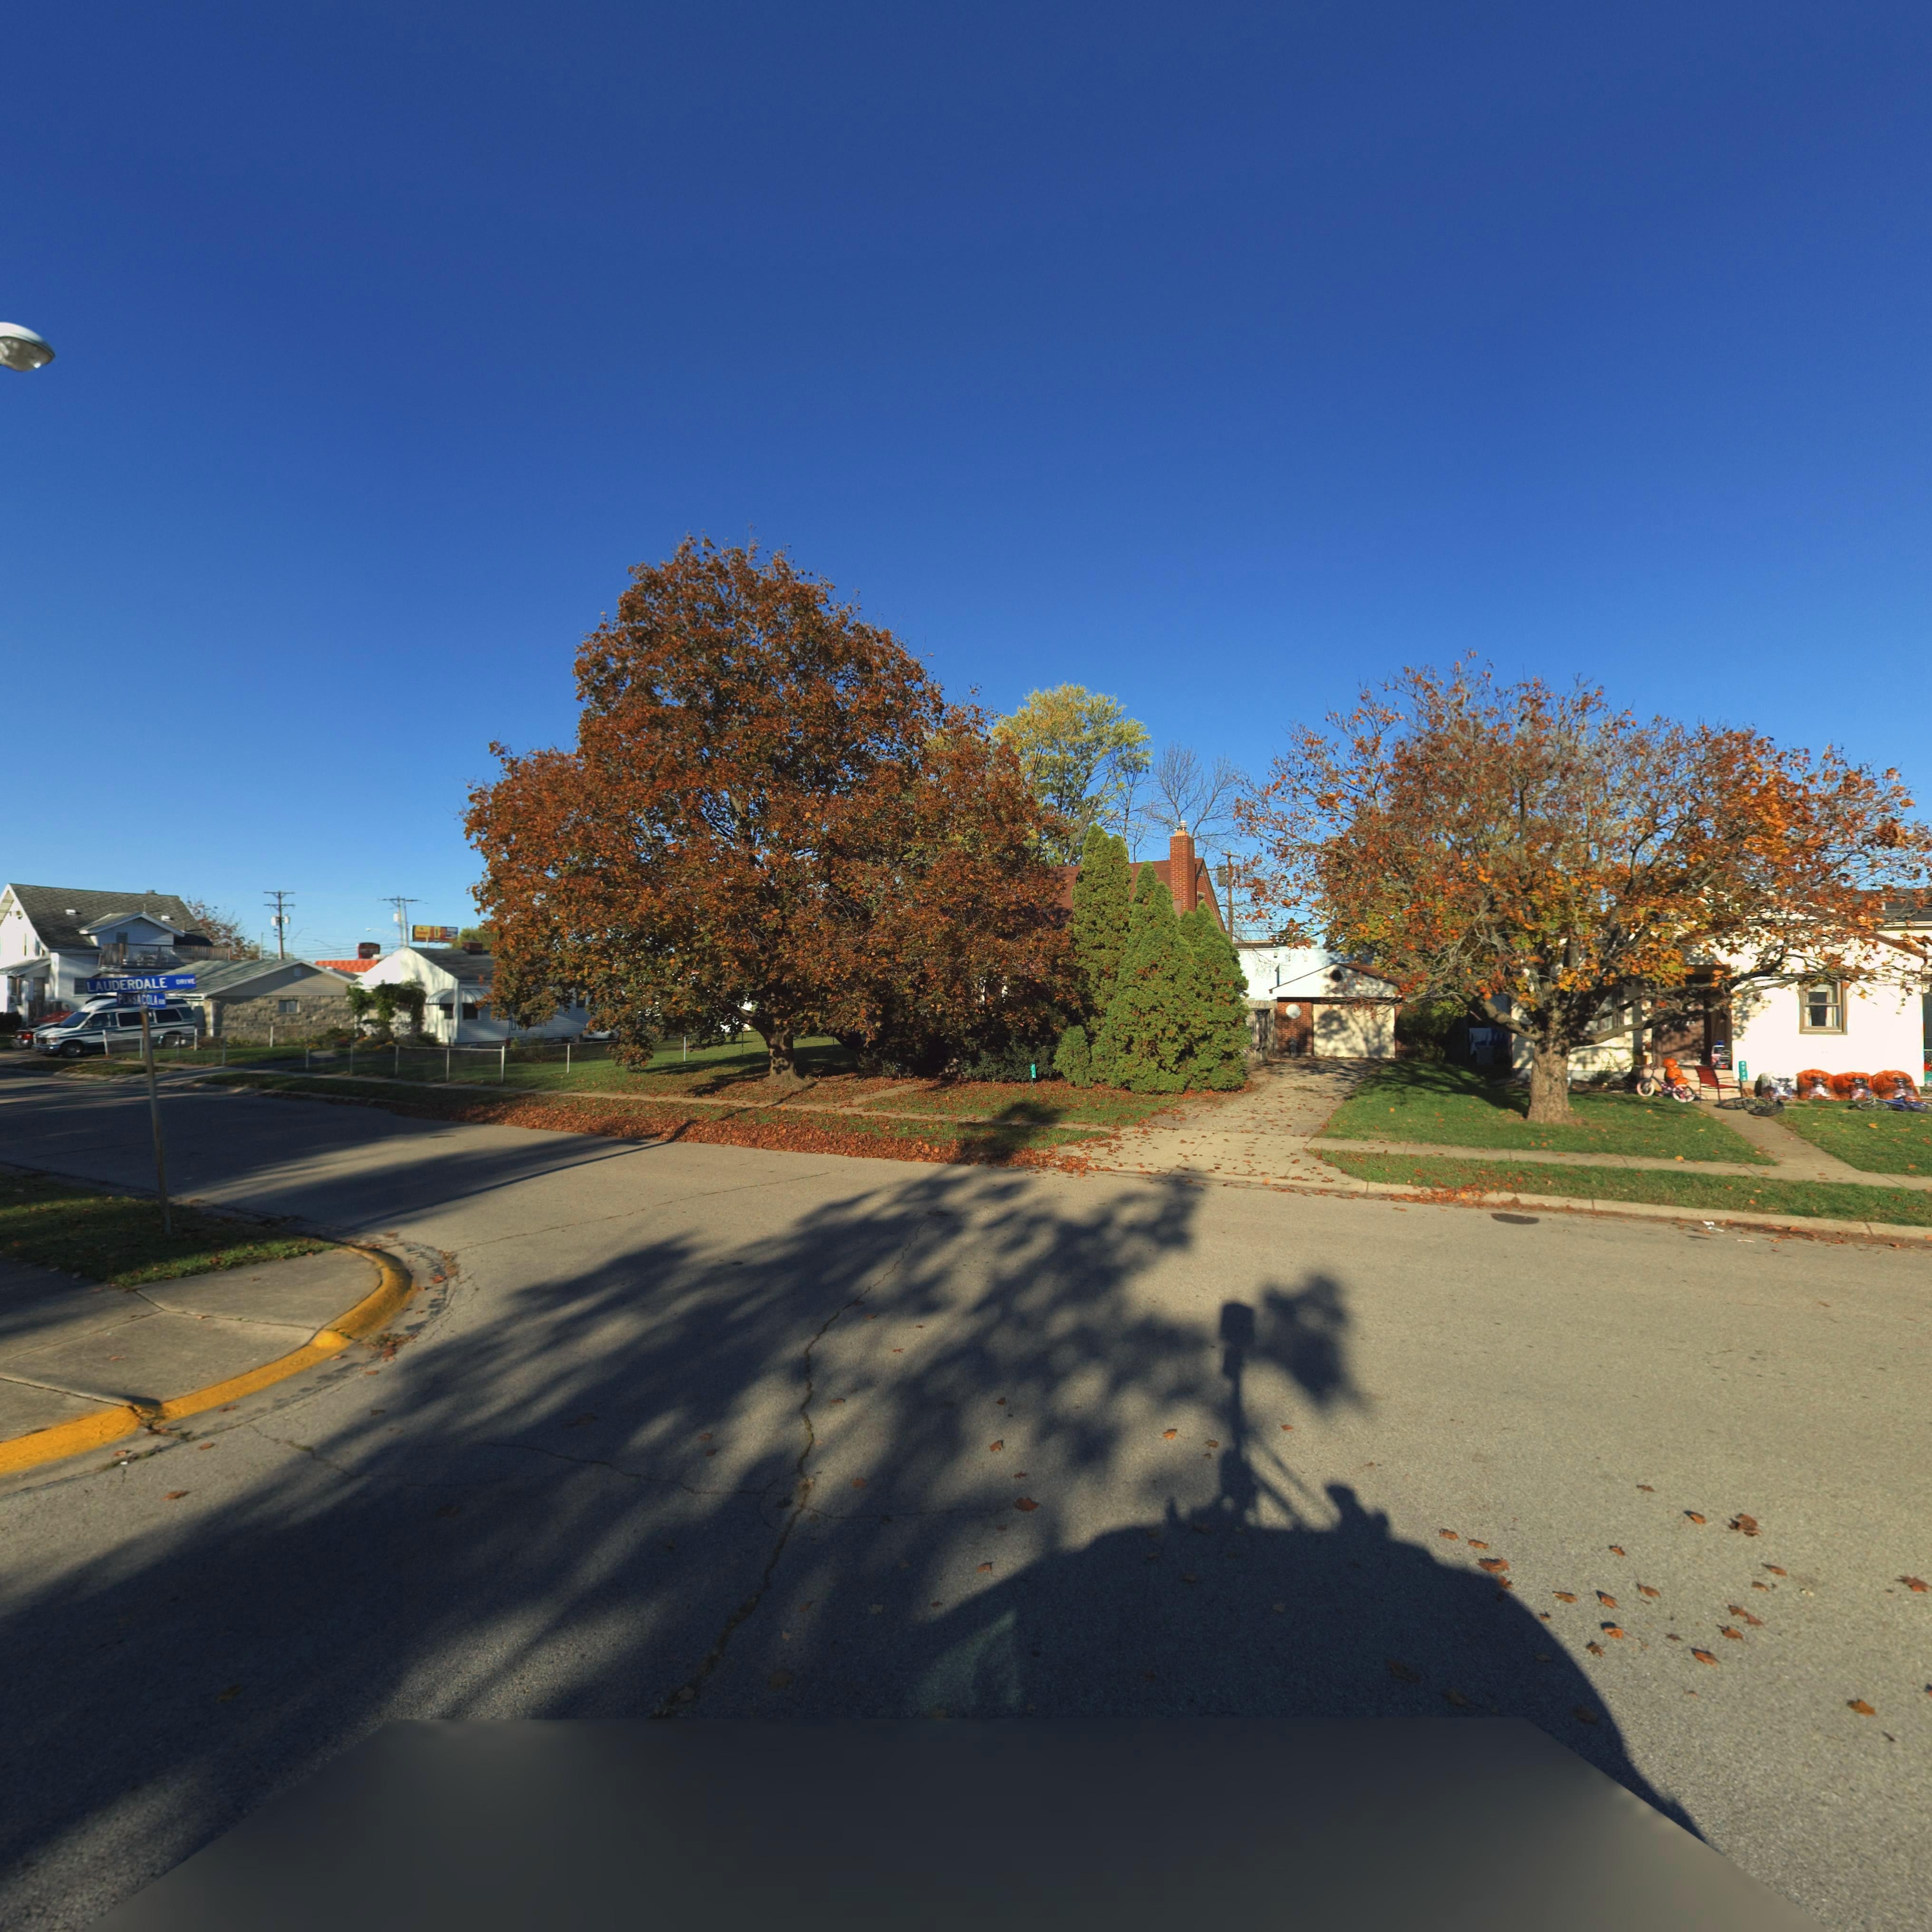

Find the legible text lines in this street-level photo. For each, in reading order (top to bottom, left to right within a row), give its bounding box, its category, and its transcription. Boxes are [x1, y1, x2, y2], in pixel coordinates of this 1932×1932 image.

[1740, 1061, 1748, 1082] StreetNumber: *7**